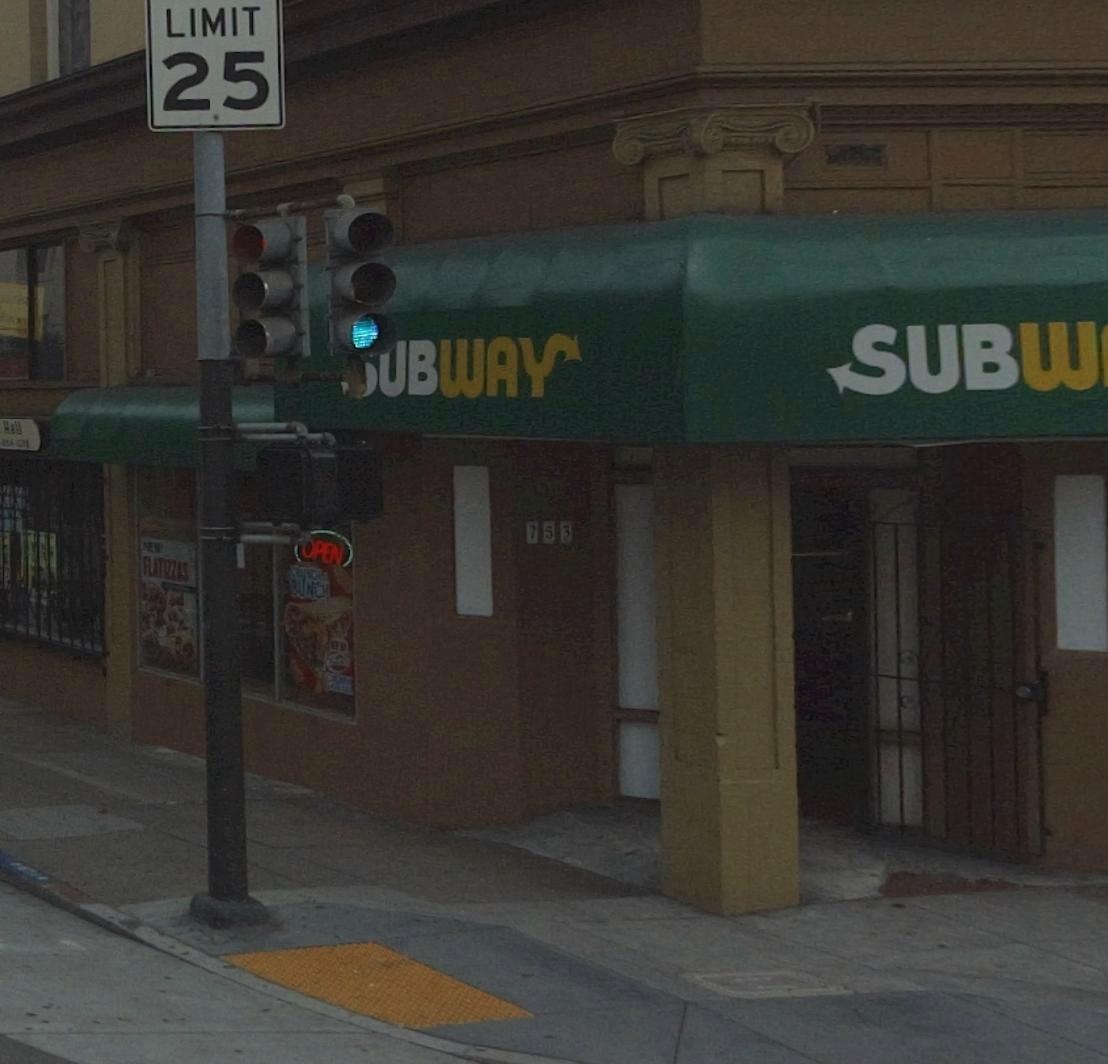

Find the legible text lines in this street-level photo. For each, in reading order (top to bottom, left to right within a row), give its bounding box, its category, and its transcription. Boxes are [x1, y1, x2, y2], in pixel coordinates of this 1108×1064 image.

[165, 6, 262, 39] None: LIMIT
[161, 50, 270, 112] None: 25
[377, 336, 561, 399] BusinessName: UBWAY
[847, 320, 1100, 397] BusinessName: SUBW
[2, 419, 23, 436] BusinessName: Hall
[527, 523, 572, 540] StreetNumber: 753
[142, 540, 162, 555] None: NEW
[300, 538, 345, 567] None: *PEN
[142, 554, 190, 584] None: FLATIZZAS